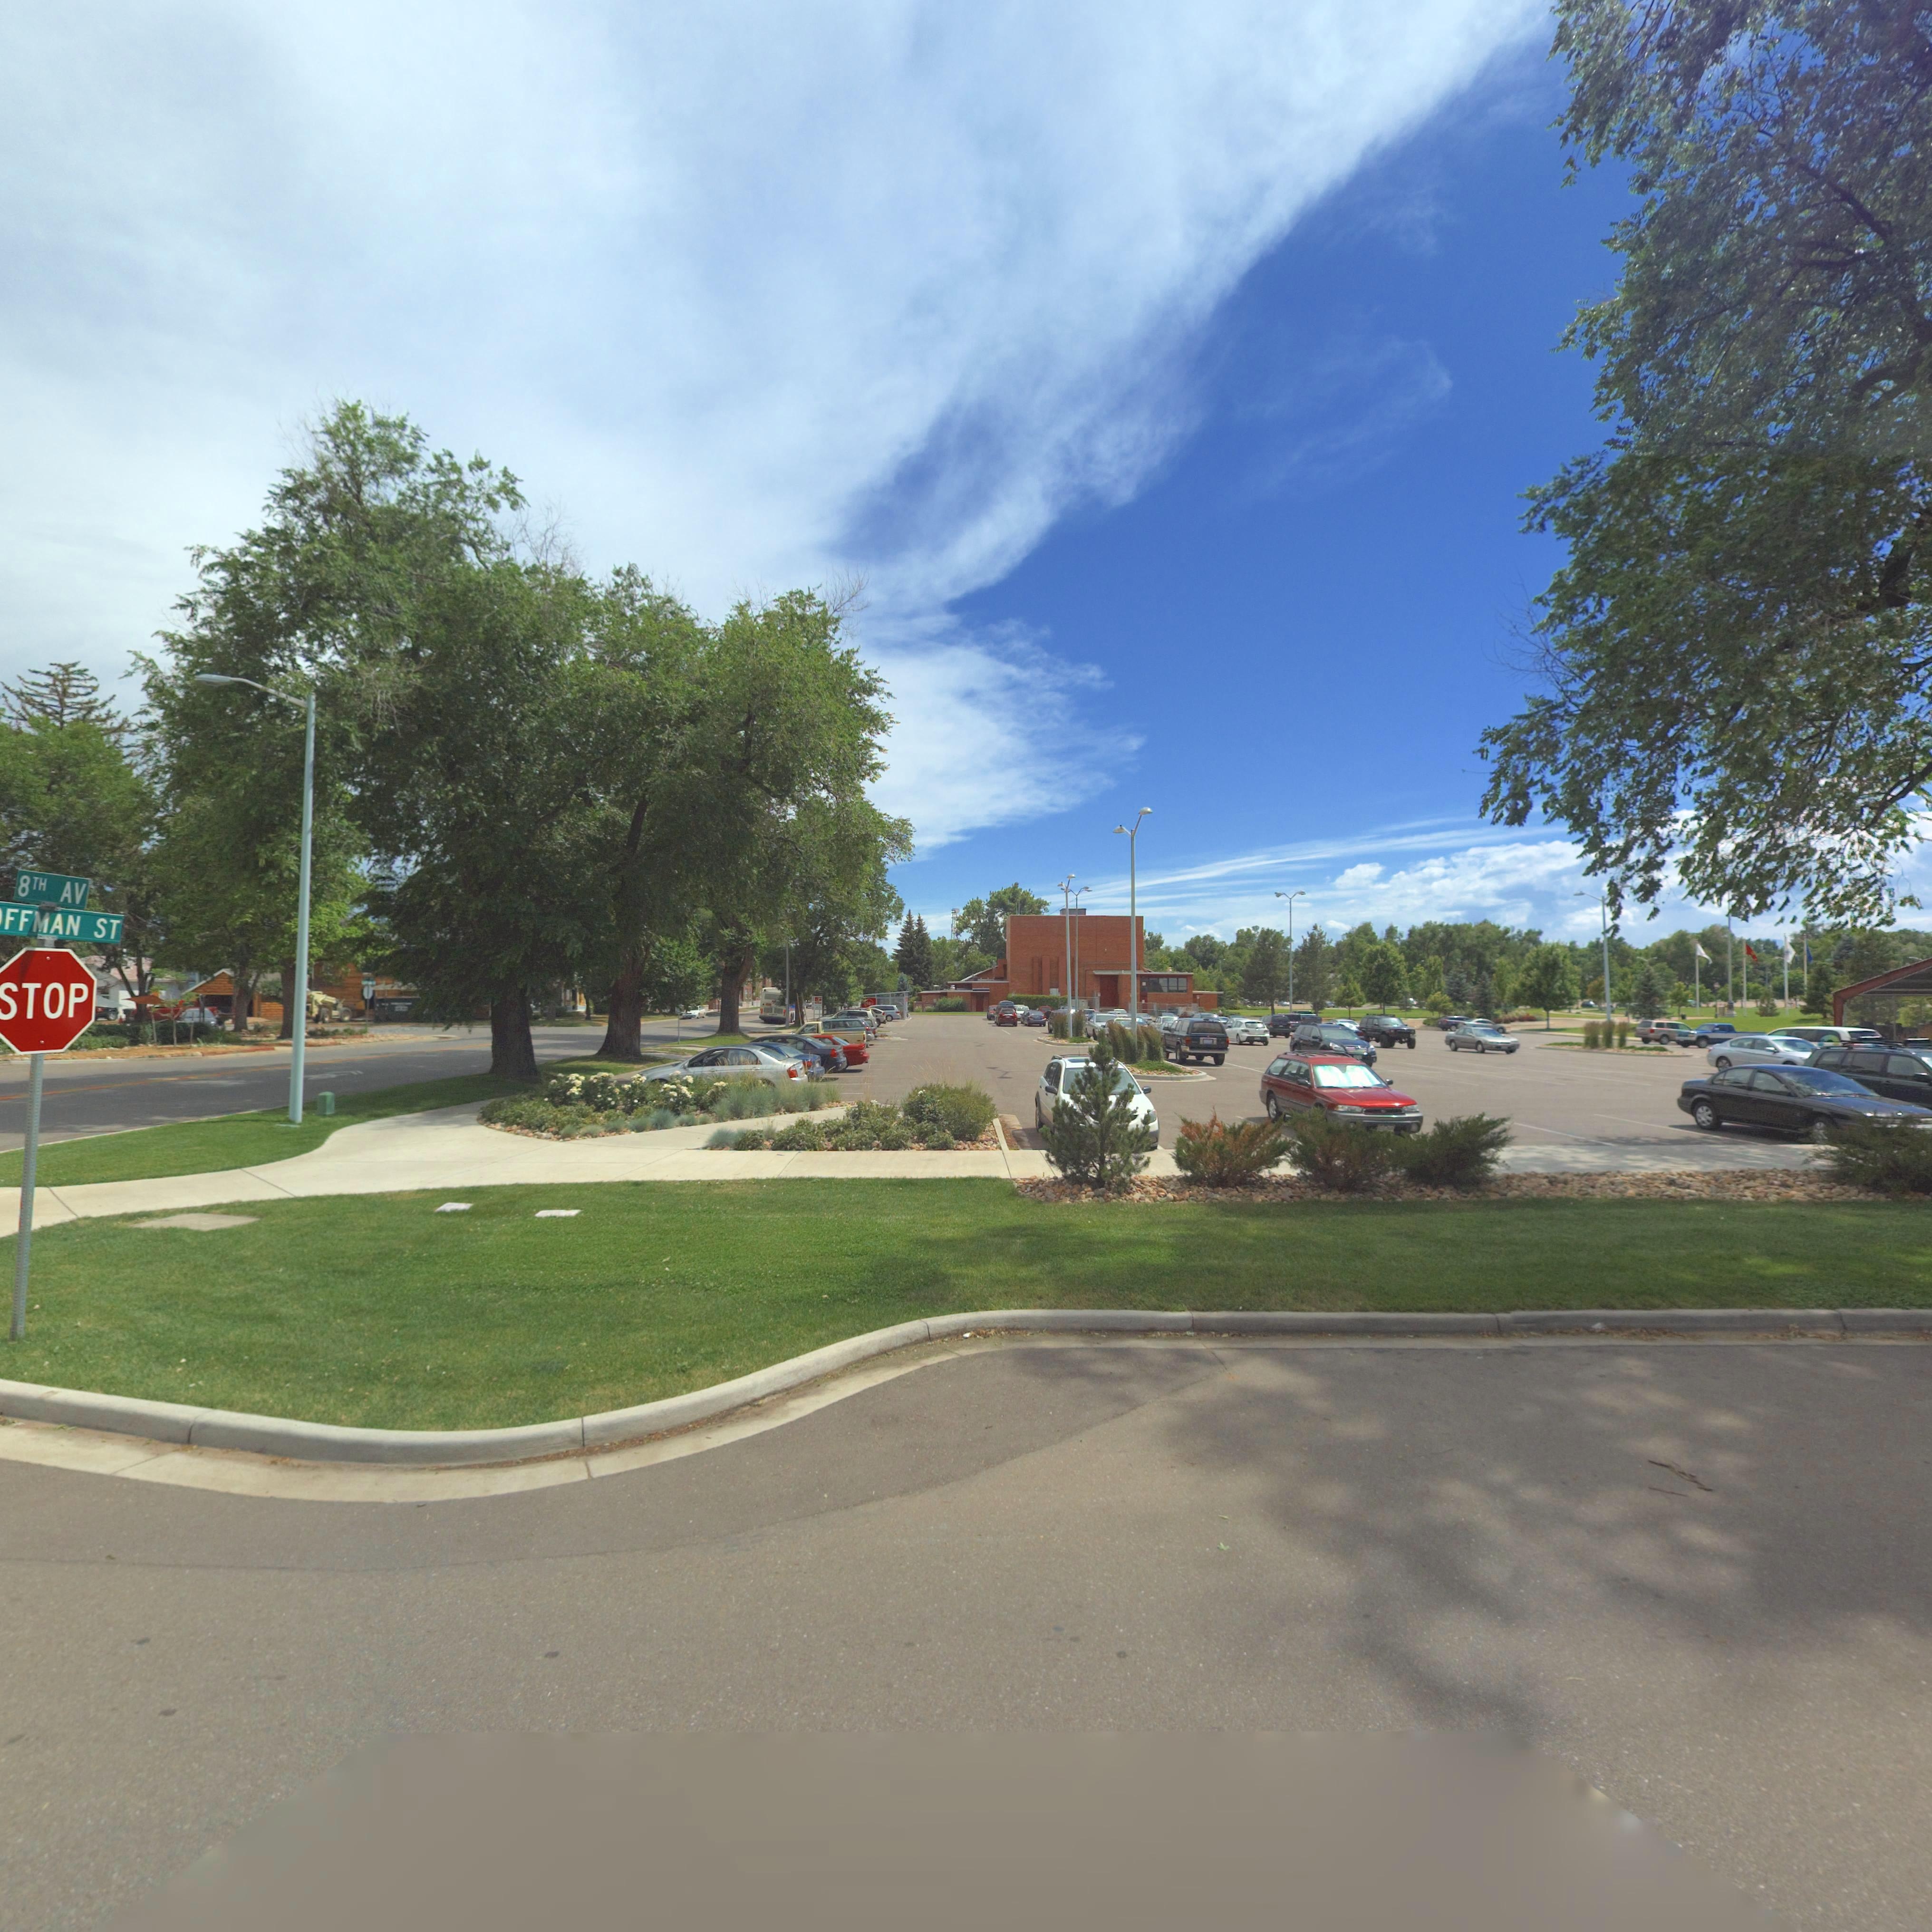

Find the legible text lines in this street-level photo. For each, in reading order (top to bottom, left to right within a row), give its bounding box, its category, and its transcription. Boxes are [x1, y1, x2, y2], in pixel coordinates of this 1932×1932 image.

[18, 873, 88, 906] StreetName: 8TH AV
[1, 905, 121, 940] StreetName: FFMAN ST